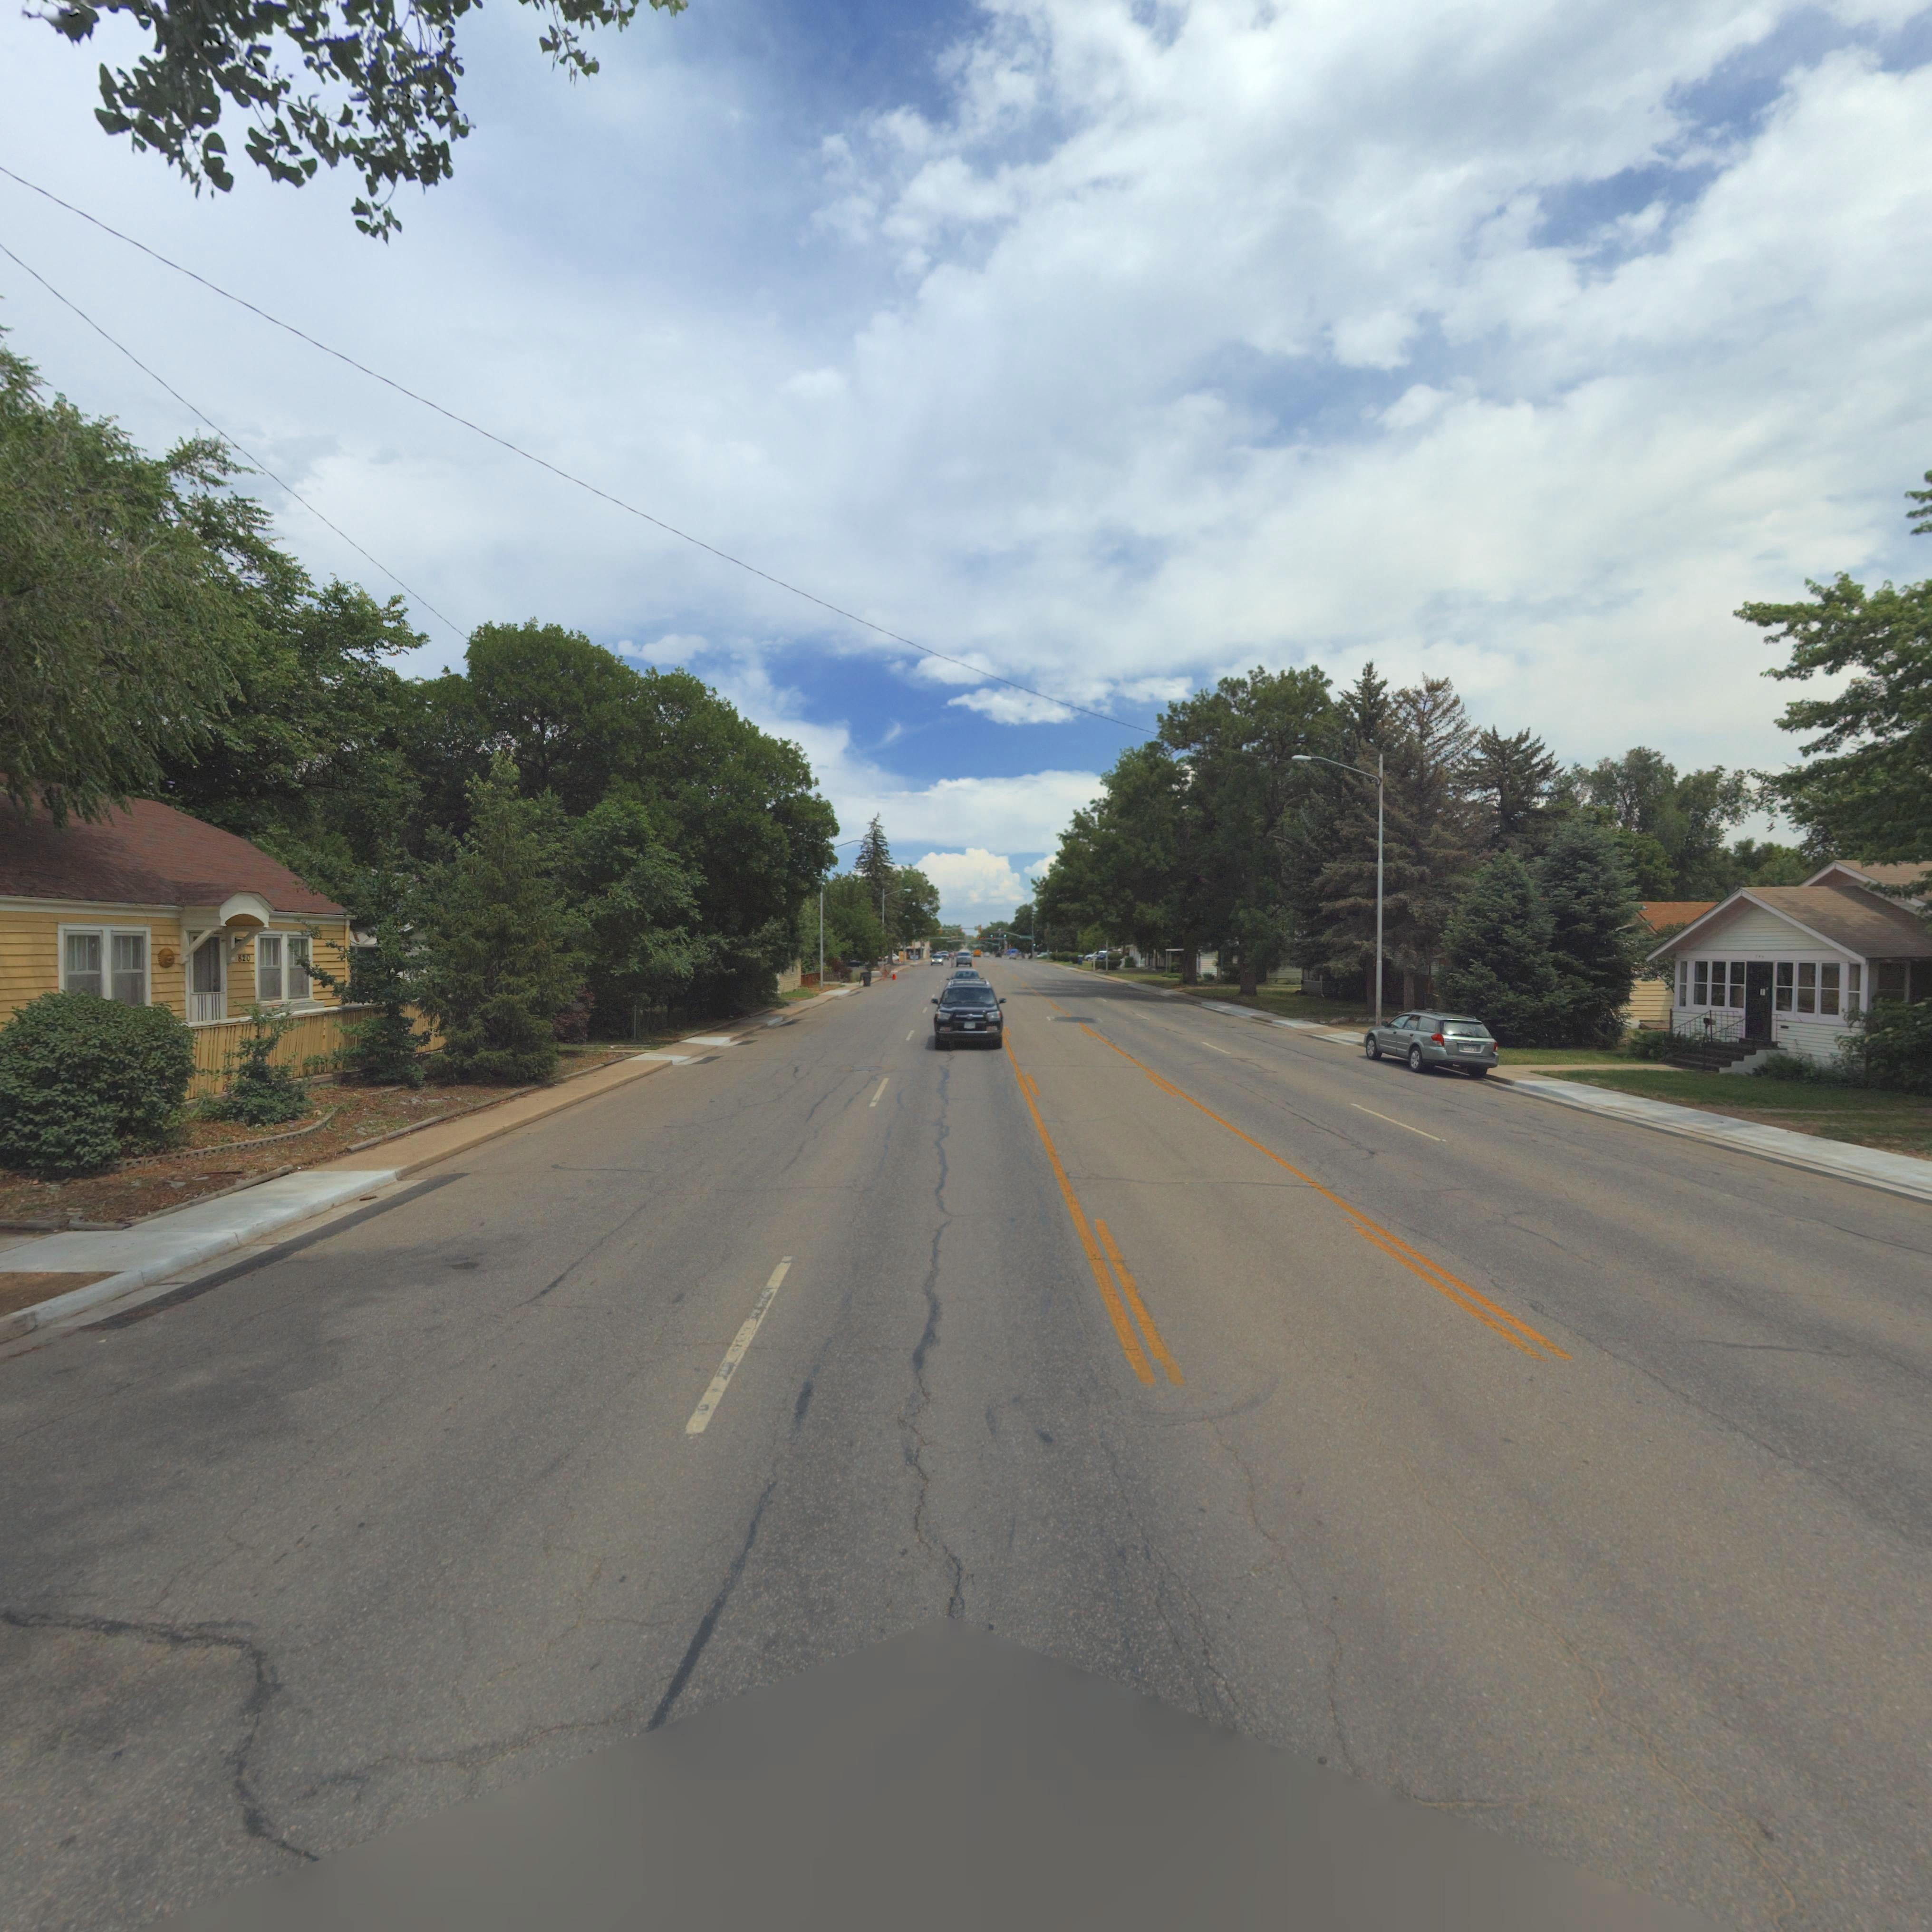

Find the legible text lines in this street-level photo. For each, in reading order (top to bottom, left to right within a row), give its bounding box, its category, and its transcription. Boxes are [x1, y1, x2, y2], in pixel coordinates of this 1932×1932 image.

[238, 954, 251, 962] StreetNumber: 820
[1755, 954, 1765, 958] StreetNumber: 745